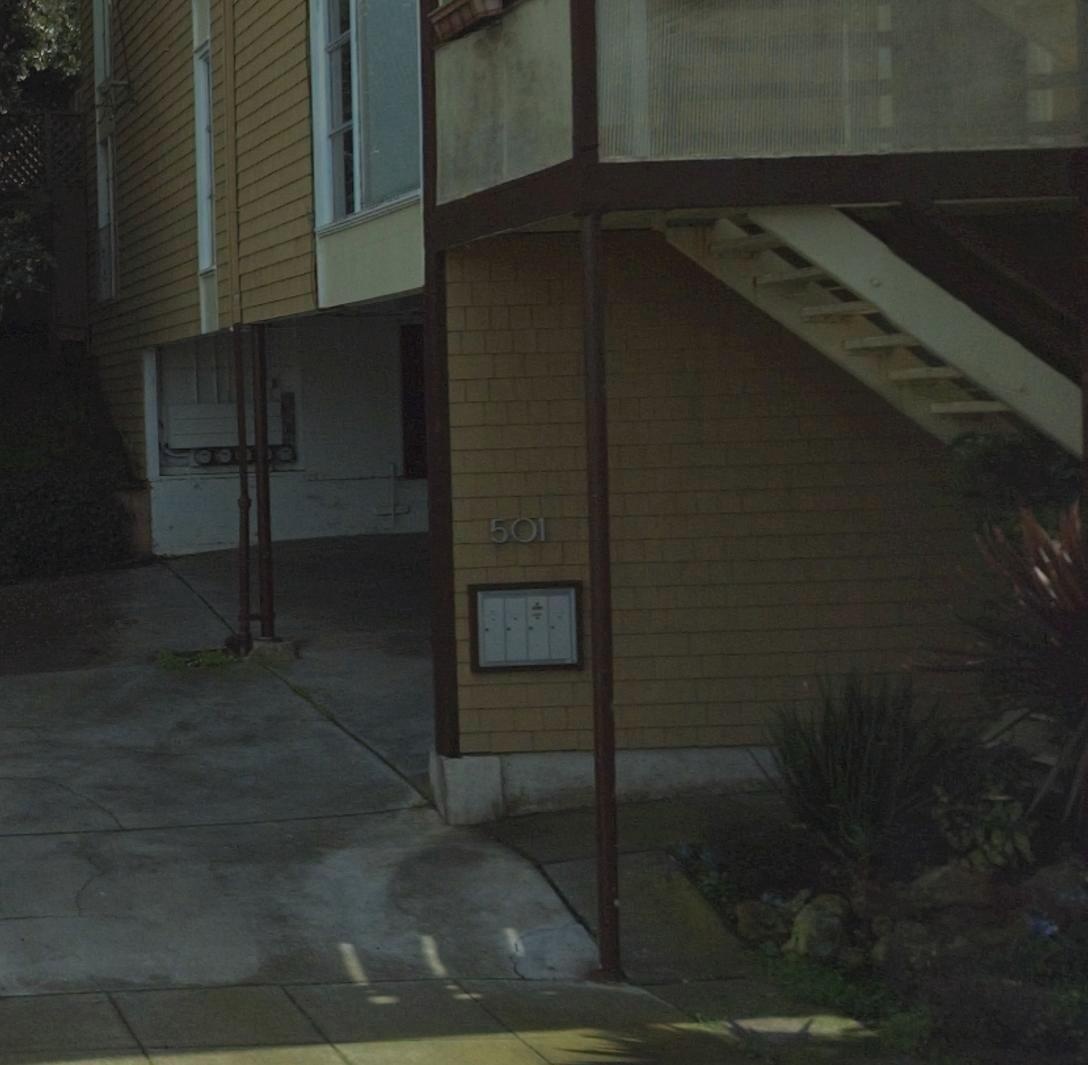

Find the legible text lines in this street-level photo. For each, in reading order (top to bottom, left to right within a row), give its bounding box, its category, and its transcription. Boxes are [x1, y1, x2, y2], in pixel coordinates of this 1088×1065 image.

[488, 515, 549, 547] StreetNumber: 501